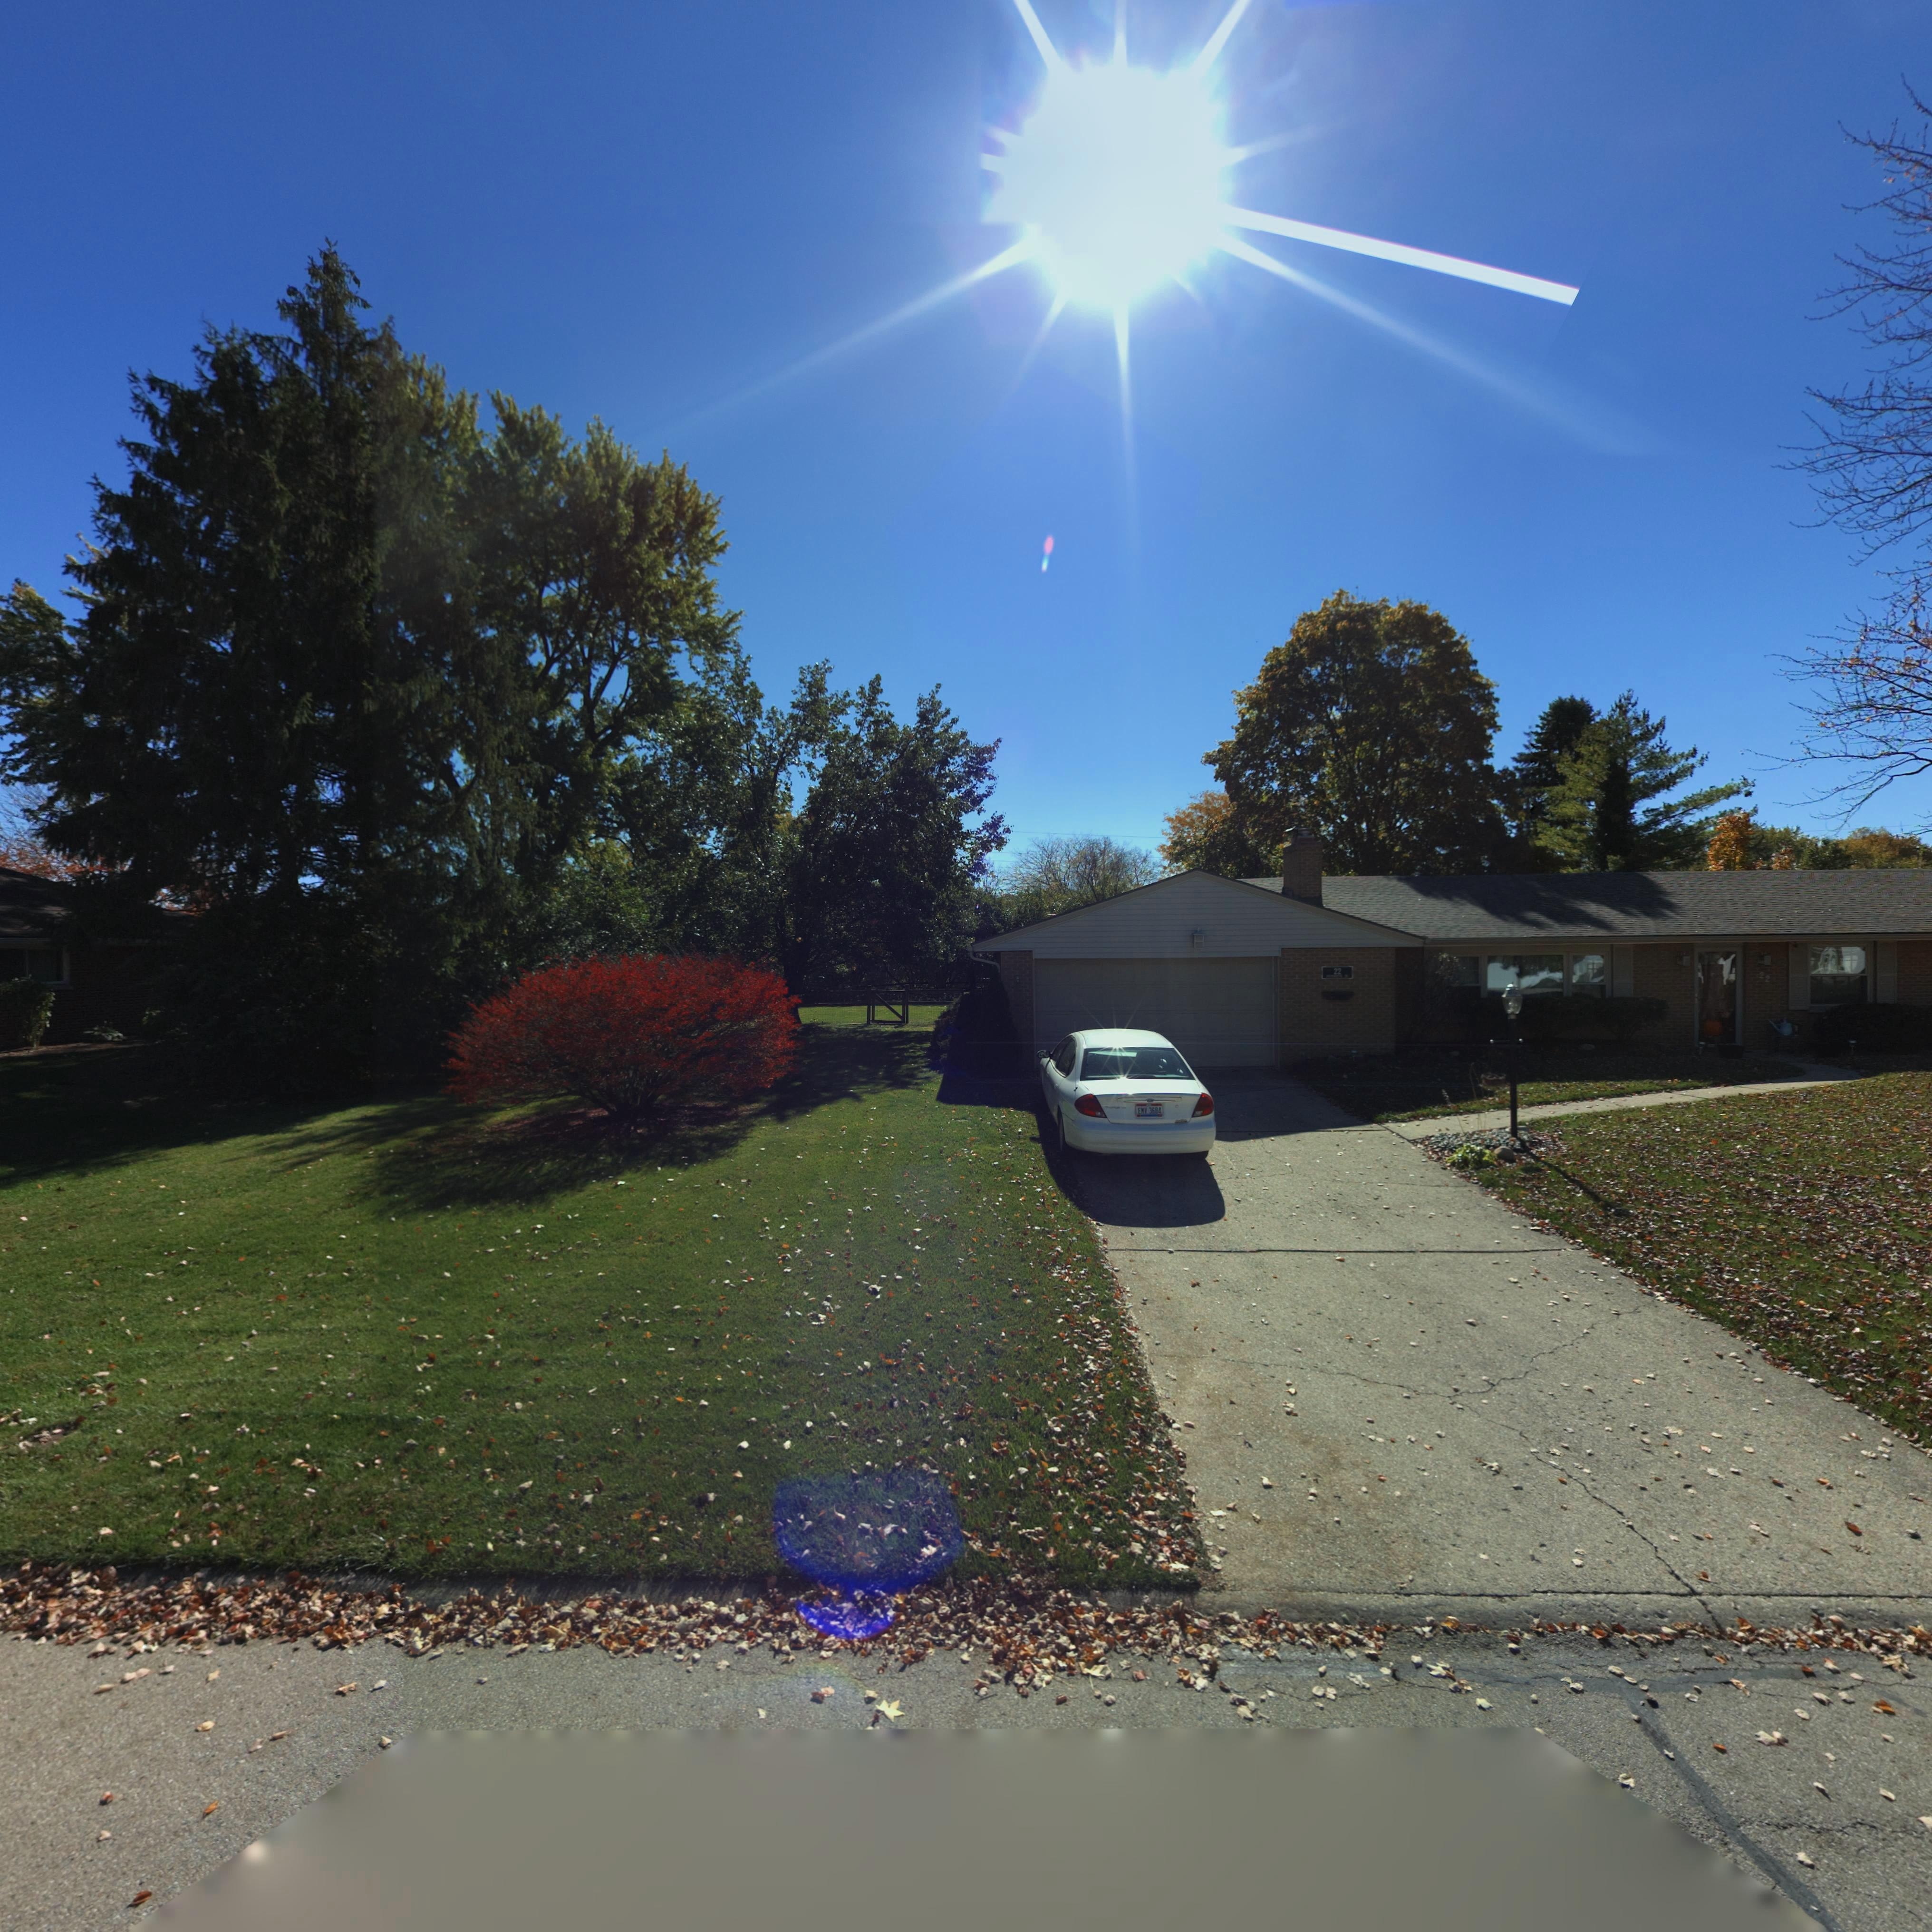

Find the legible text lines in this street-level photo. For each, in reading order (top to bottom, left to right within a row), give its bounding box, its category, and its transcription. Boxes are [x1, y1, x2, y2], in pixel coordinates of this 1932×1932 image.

[1333, 967, 1342, 975] StreetNumber: 22
[1758, 971, 1772, 984] StreetNumber: 22